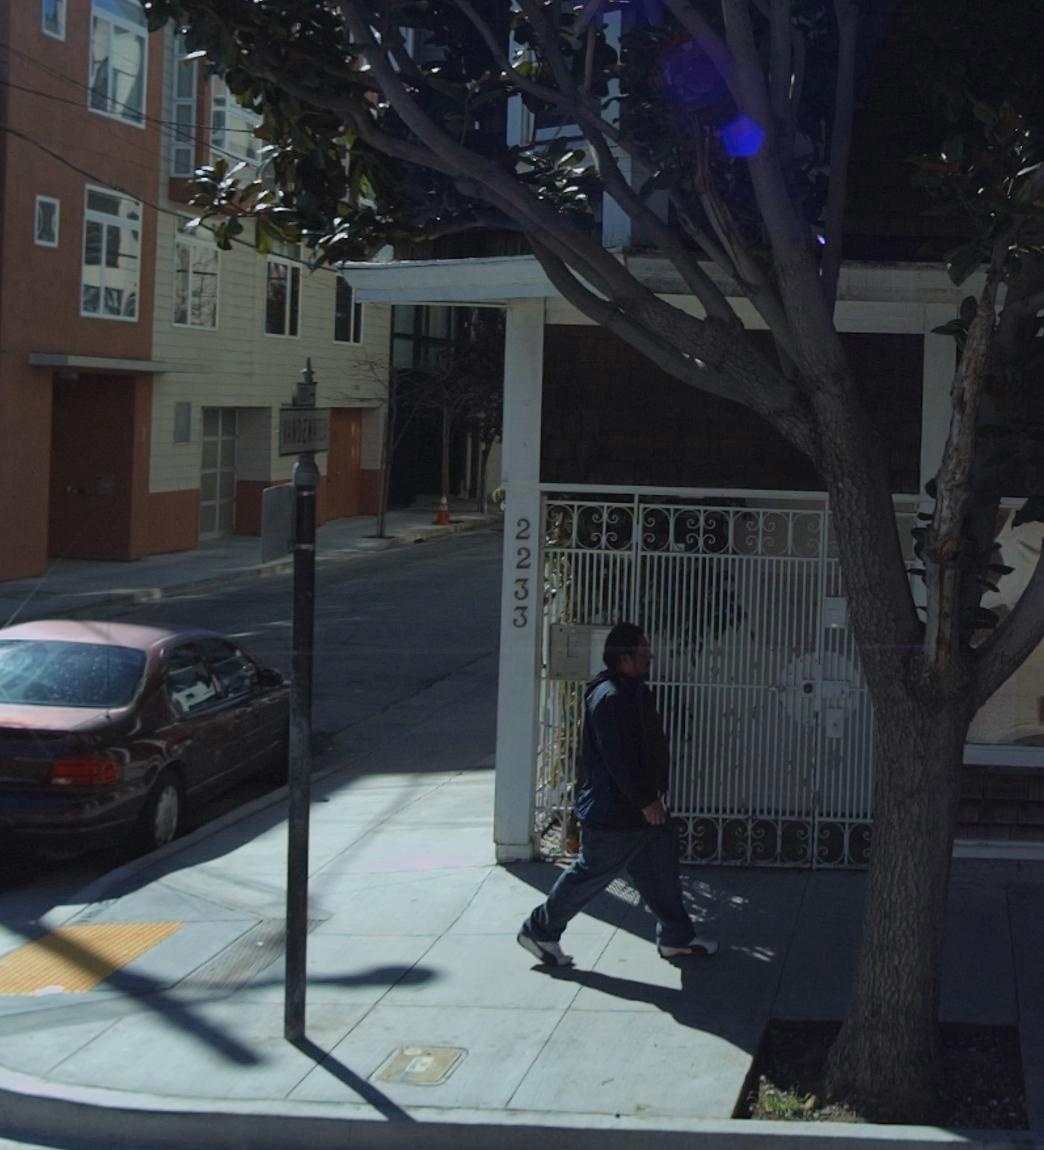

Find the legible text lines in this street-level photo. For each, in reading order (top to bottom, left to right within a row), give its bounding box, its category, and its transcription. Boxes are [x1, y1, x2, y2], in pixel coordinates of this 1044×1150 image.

[282, 418, 309, 446] StreetName: VANDE
[511, 517, 533, 629] StreetNumber: 2233